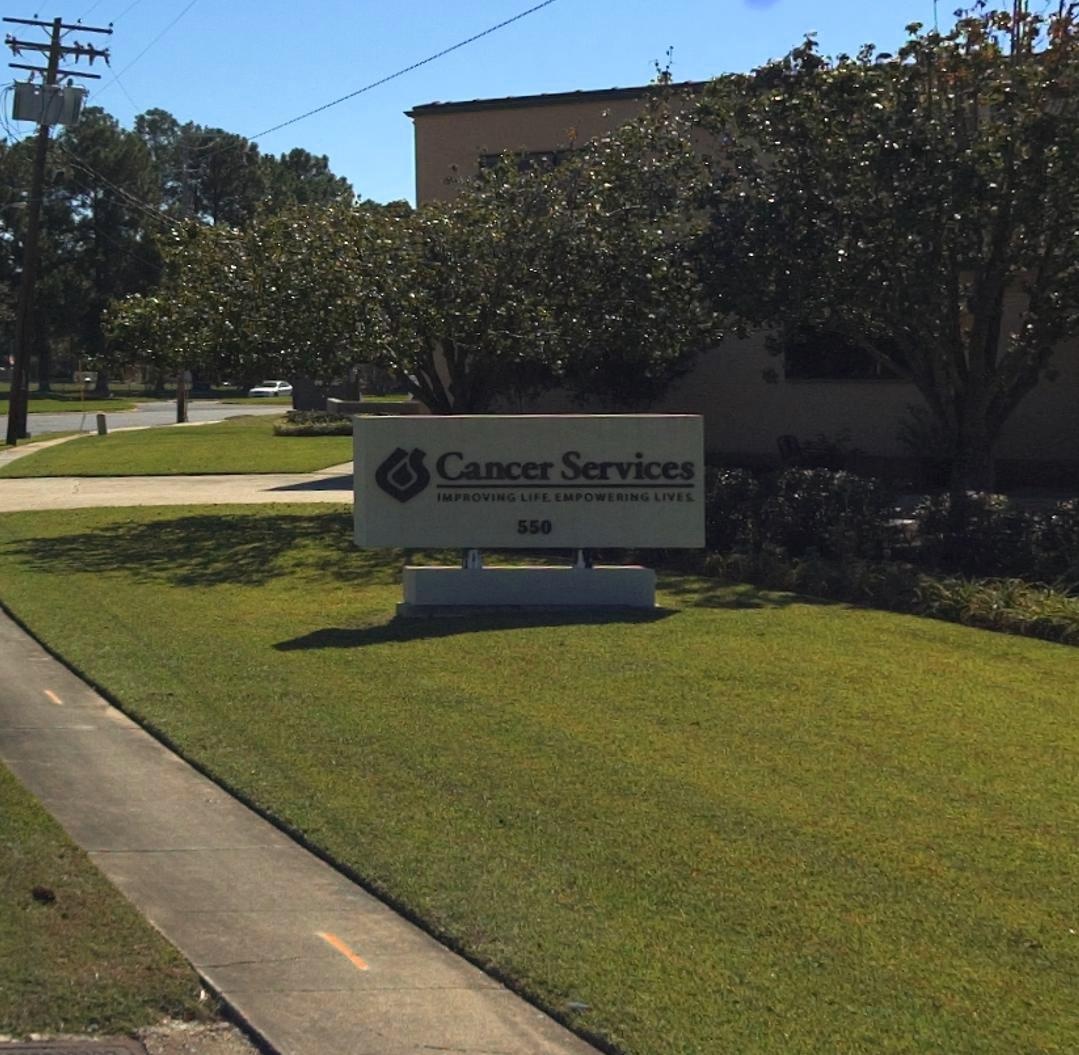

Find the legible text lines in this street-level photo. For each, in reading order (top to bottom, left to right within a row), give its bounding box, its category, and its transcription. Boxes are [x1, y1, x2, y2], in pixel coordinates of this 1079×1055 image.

[431, 446, 700, 486] BusinessName: Cancer Services
[433, 489, 698, 505] None: IMPROVING LIFE EMPOWERING LIVES
[515, 517, 554, 536] StreetNumber: 550